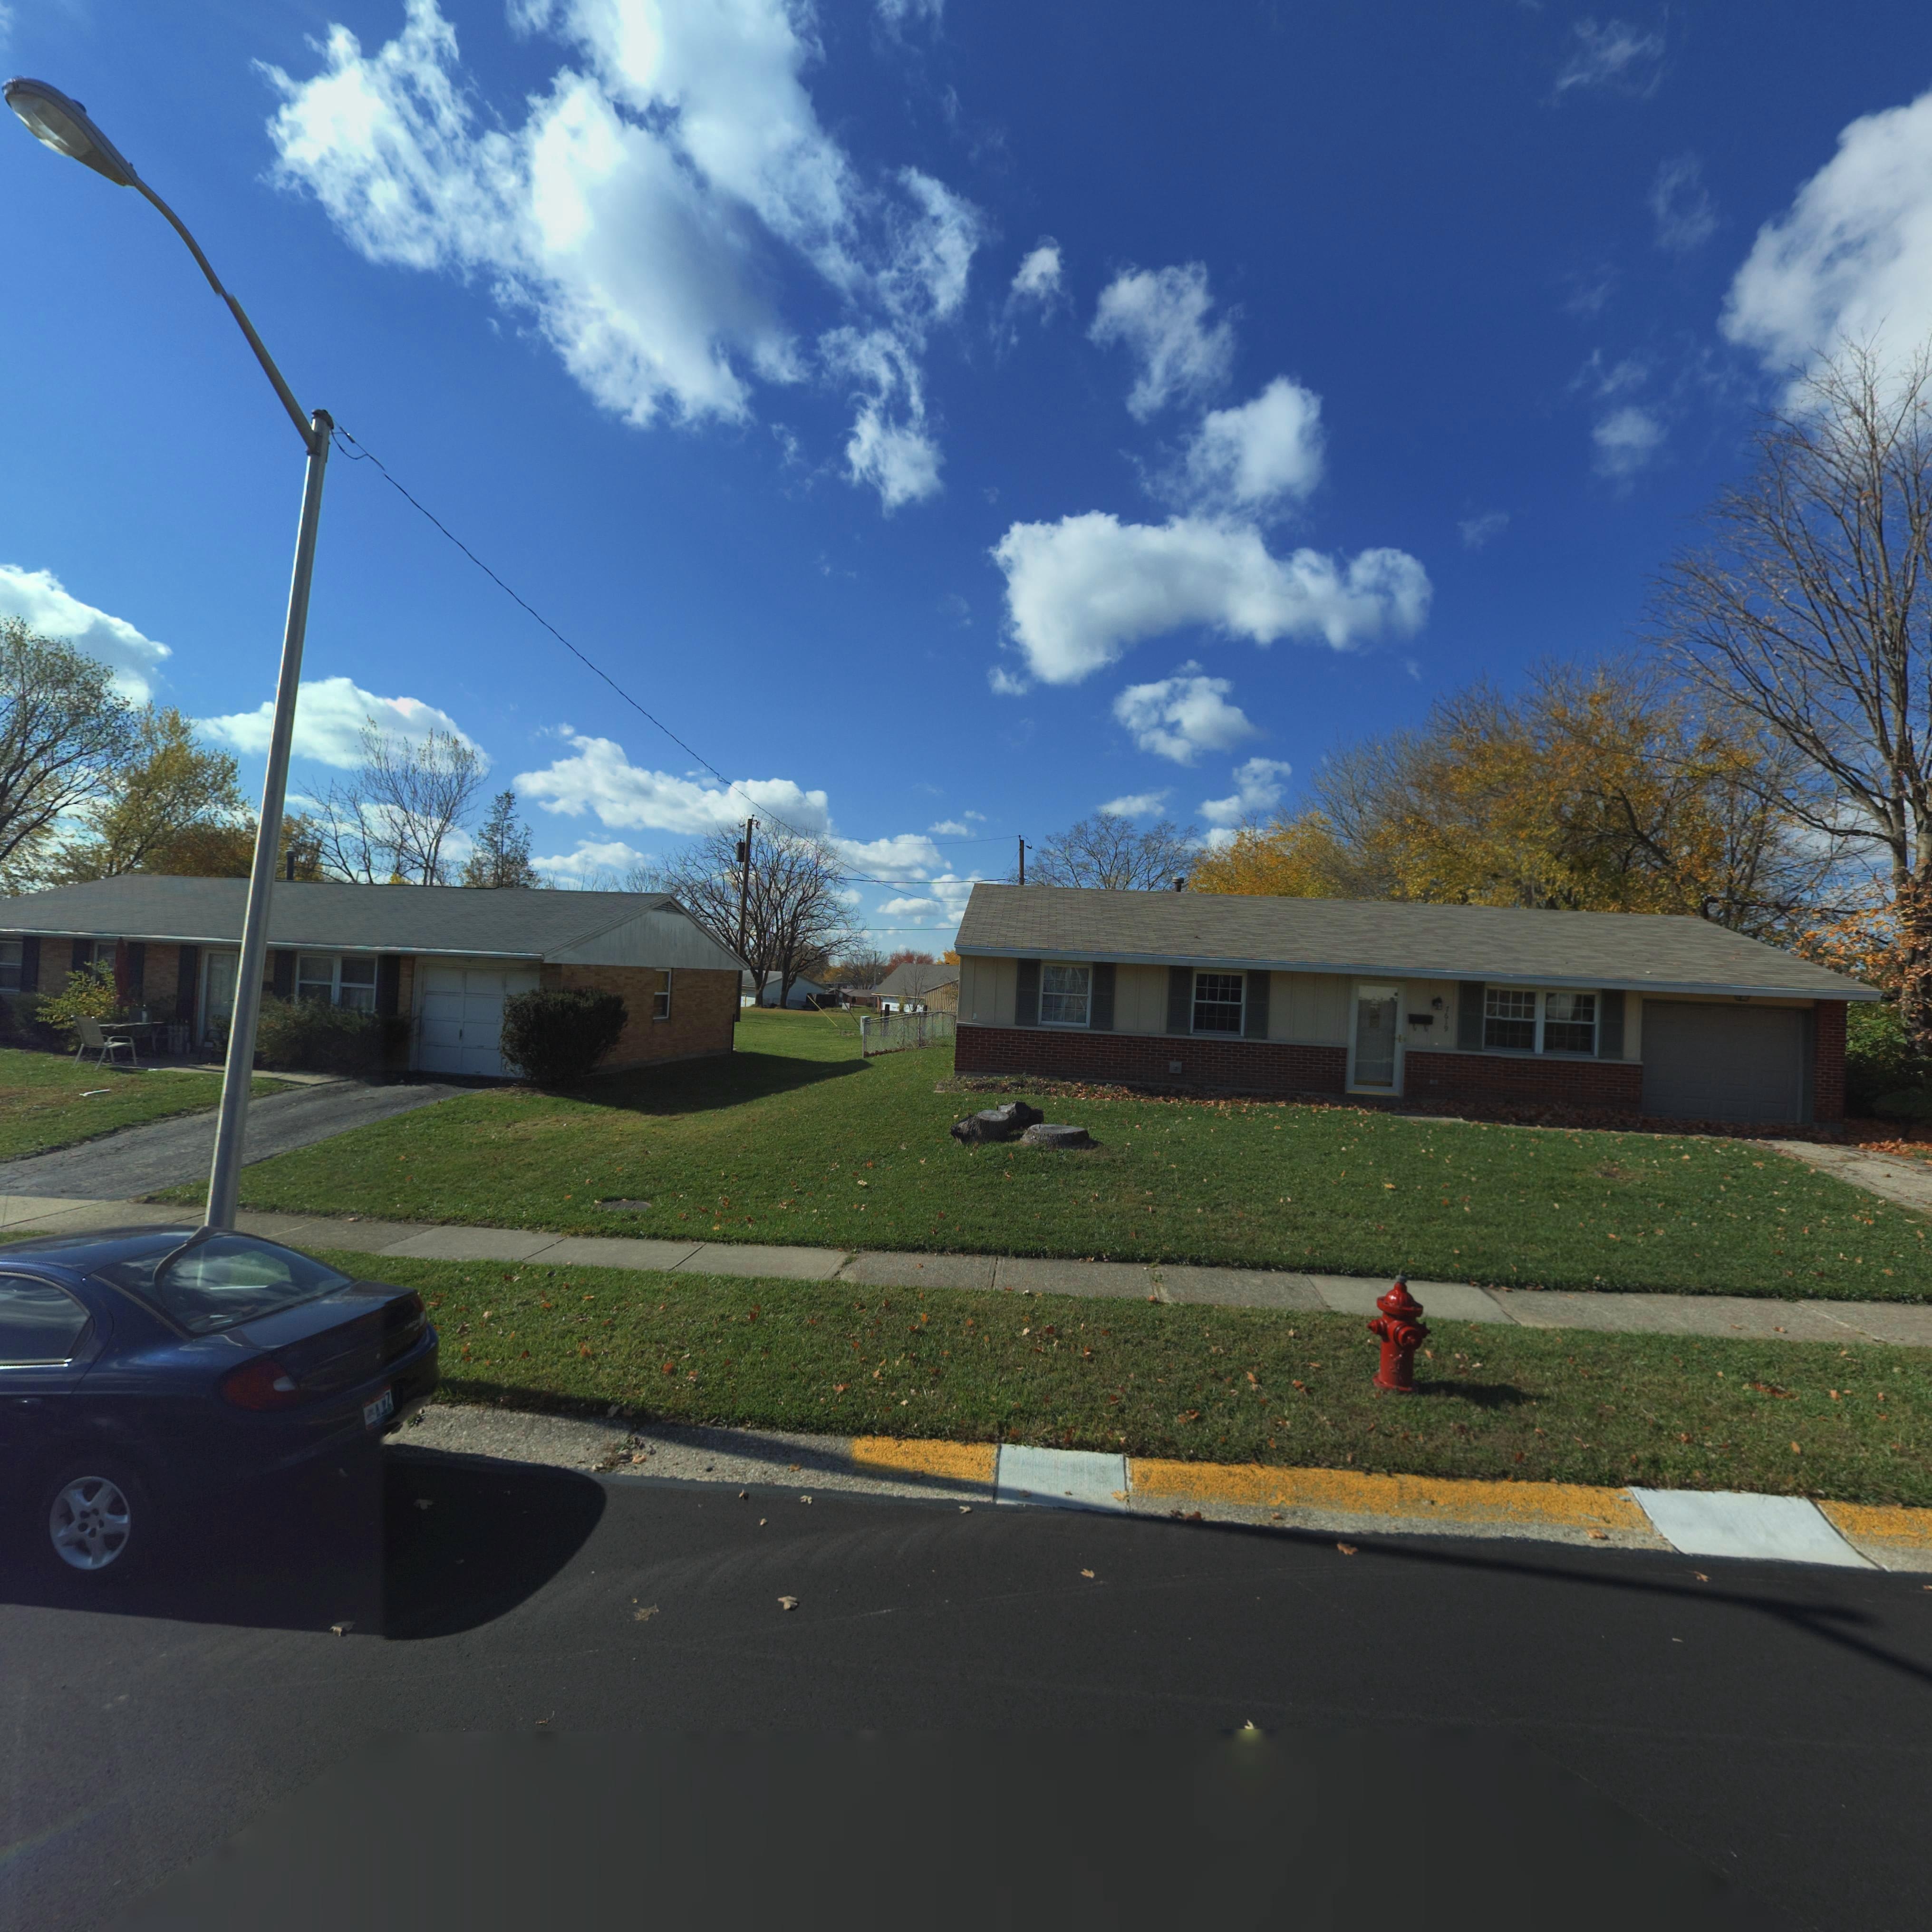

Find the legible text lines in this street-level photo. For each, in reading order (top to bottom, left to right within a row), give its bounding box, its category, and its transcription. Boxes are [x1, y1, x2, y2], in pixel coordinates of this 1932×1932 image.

[1443, 1005, 1449, 1032] StreetNumber: 7619